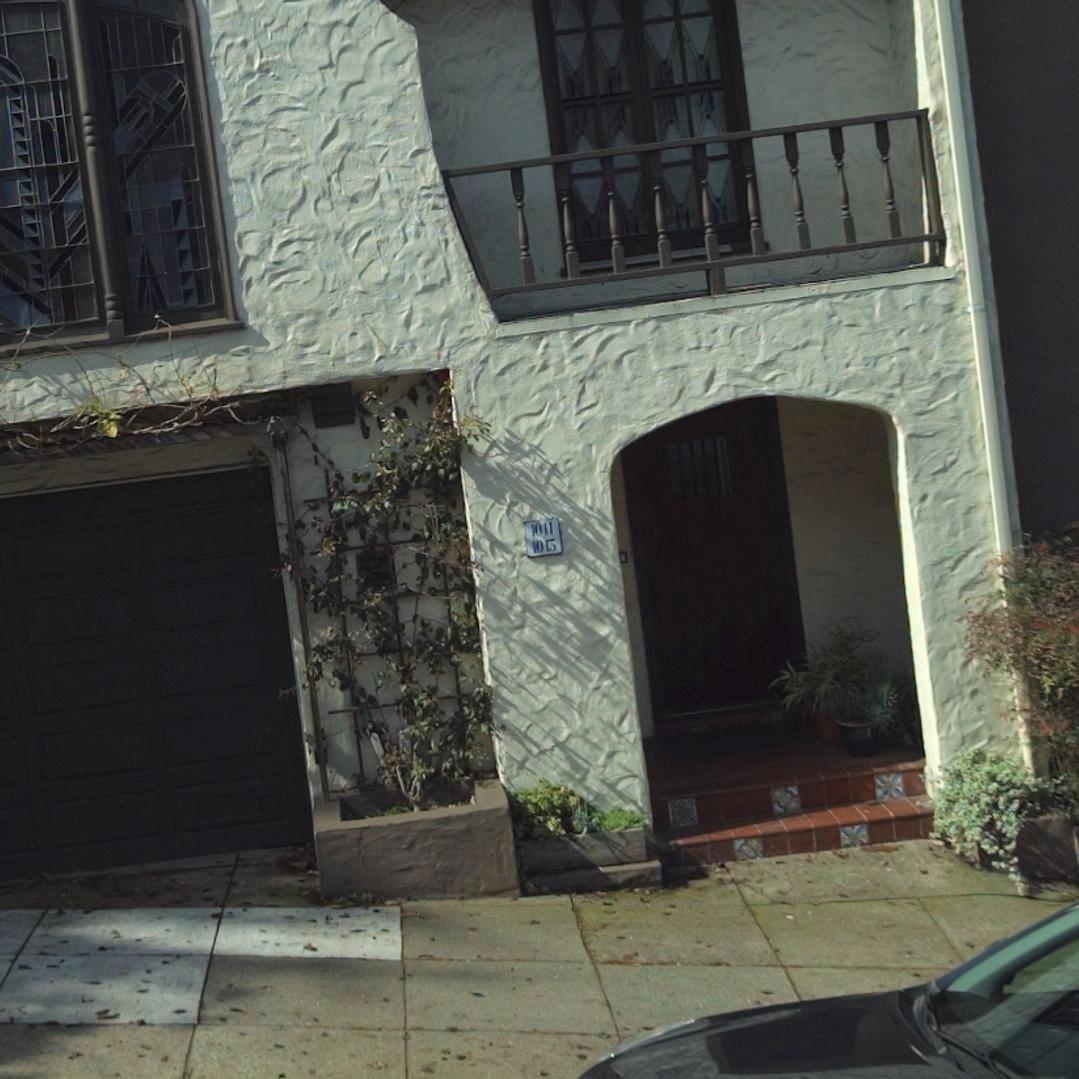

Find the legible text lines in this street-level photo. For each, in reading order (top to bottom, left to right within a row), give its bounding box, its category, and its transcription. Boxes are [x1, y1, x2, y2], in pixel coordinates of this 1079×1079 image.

[528, 519, 556, 540] StreetNumber: 1011
[528, 535, 559, 558] None: 1015